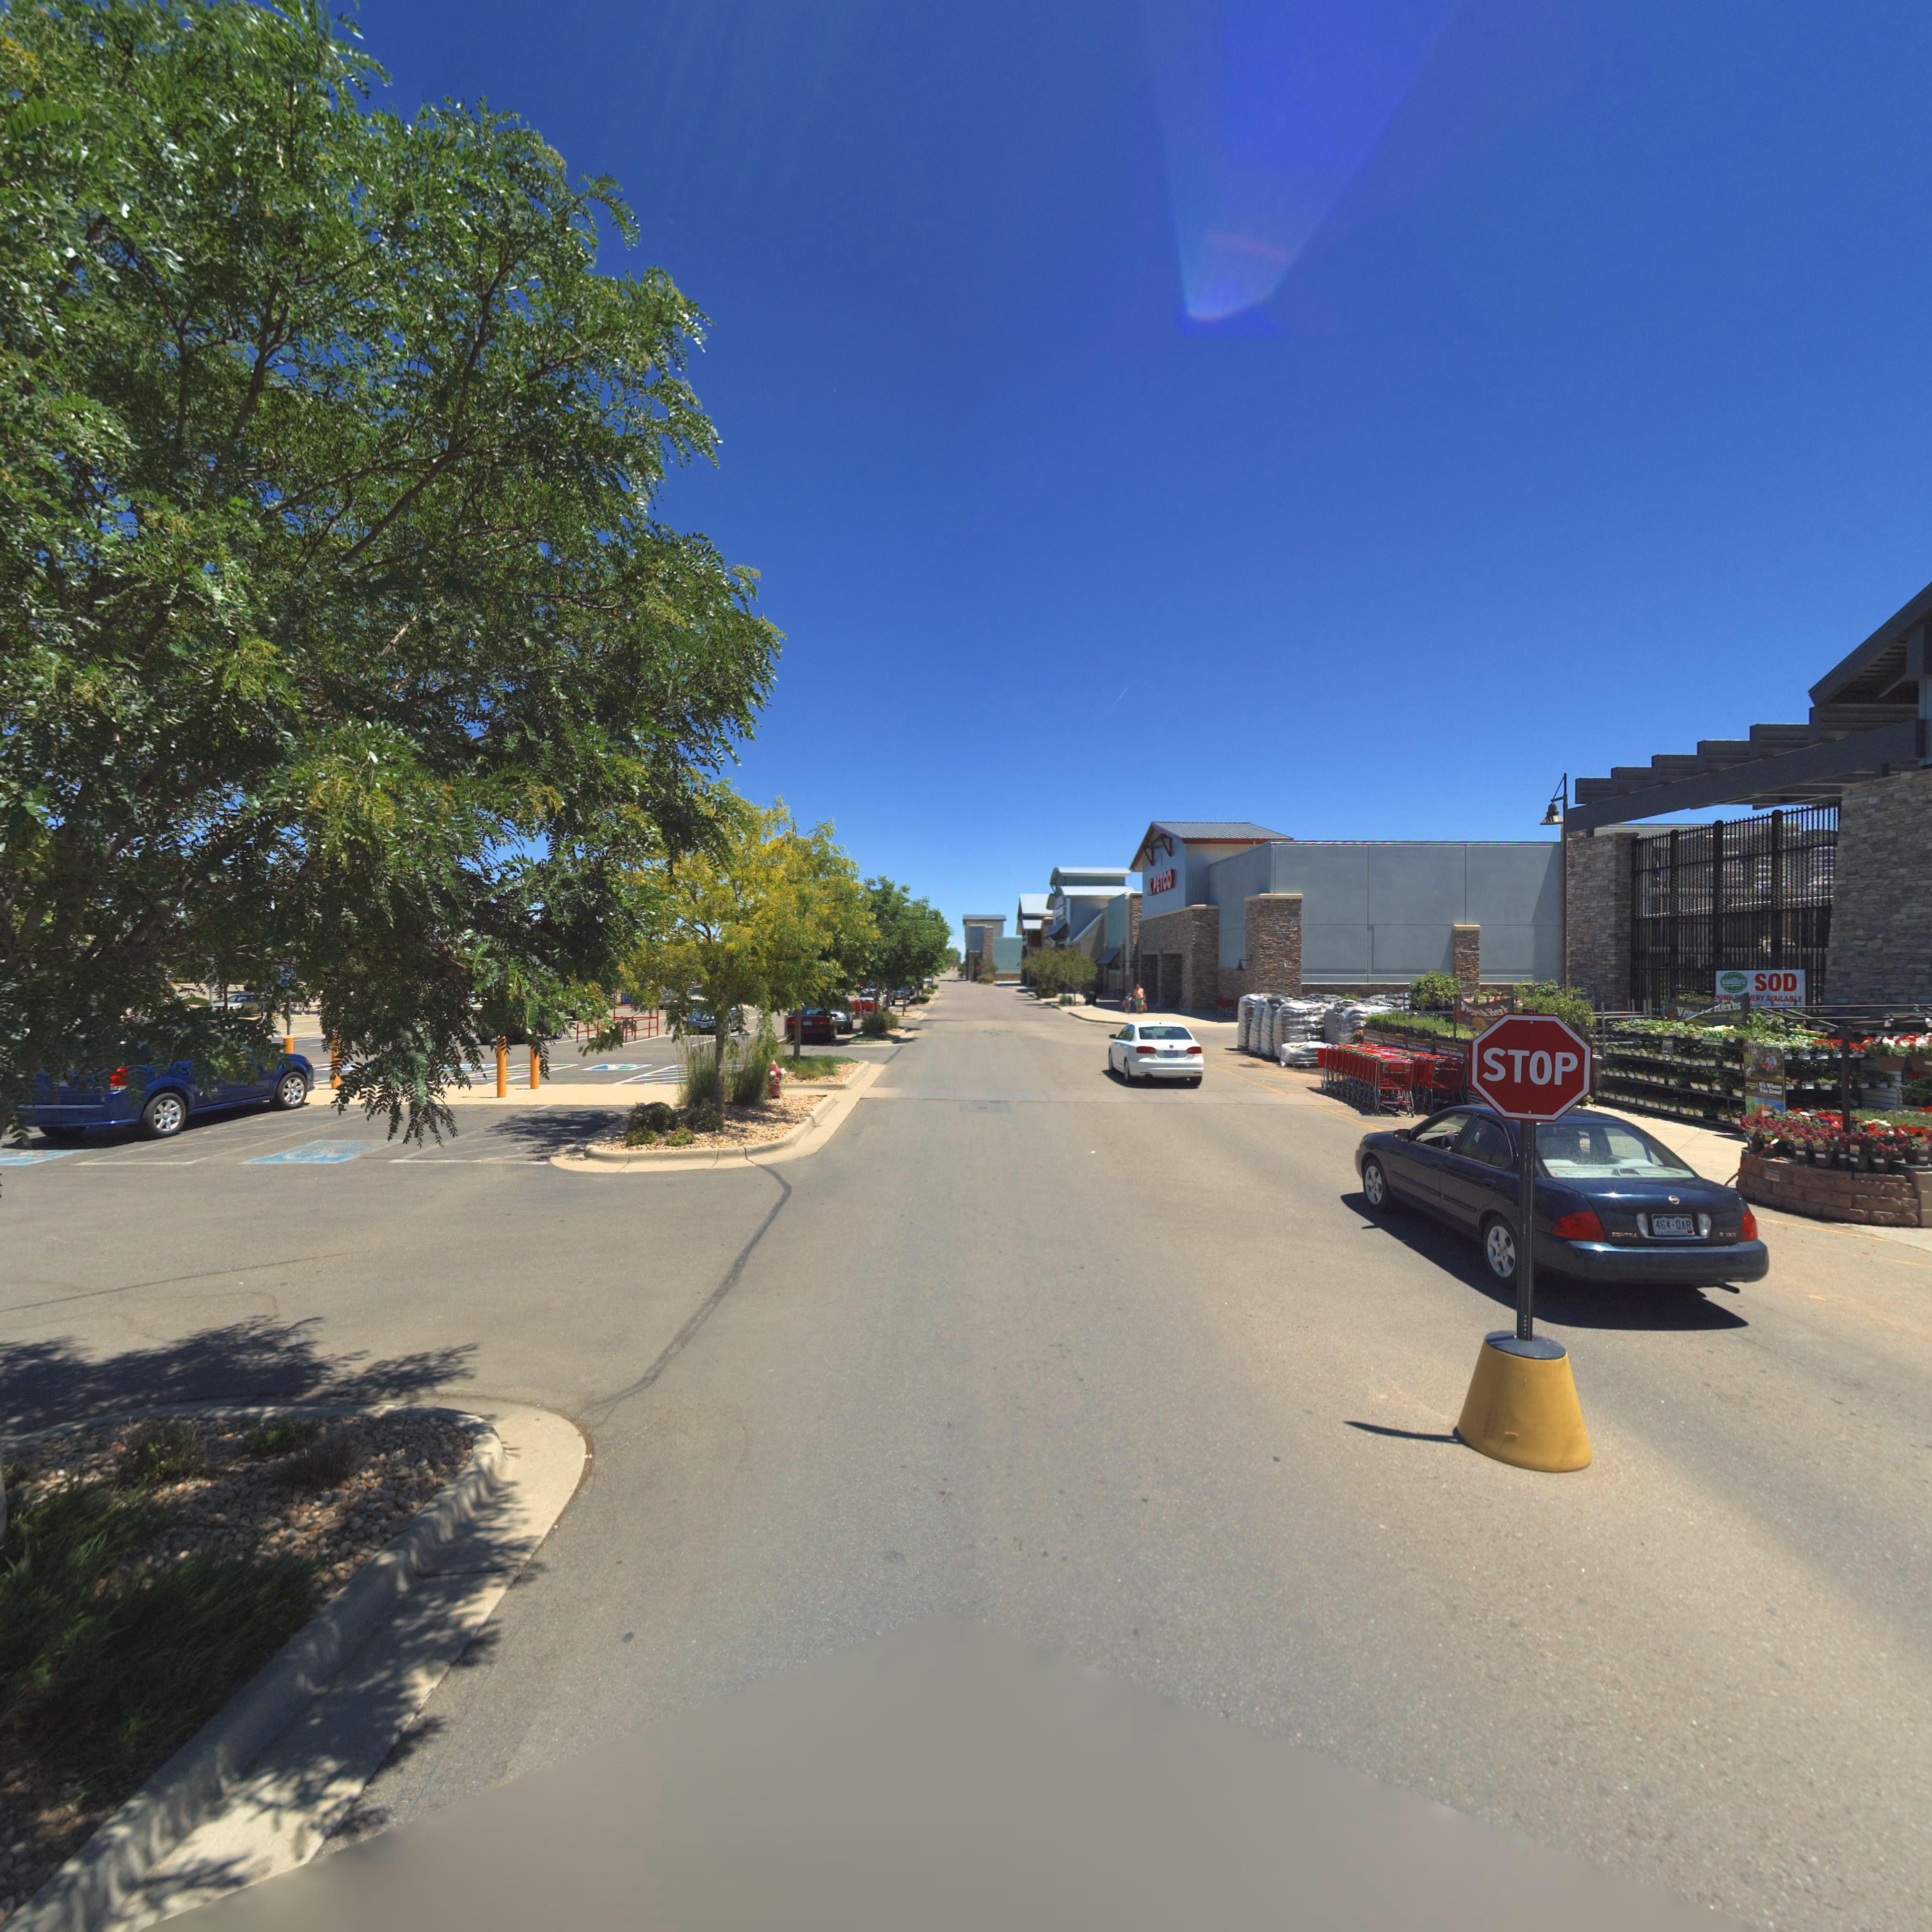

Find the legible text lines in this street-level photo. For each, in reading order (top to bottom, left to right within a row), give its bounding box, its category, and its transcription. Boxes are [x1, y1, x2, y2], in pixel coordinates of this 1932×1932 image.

[1153, 868, 1173, 894] BusinessName: PETCO